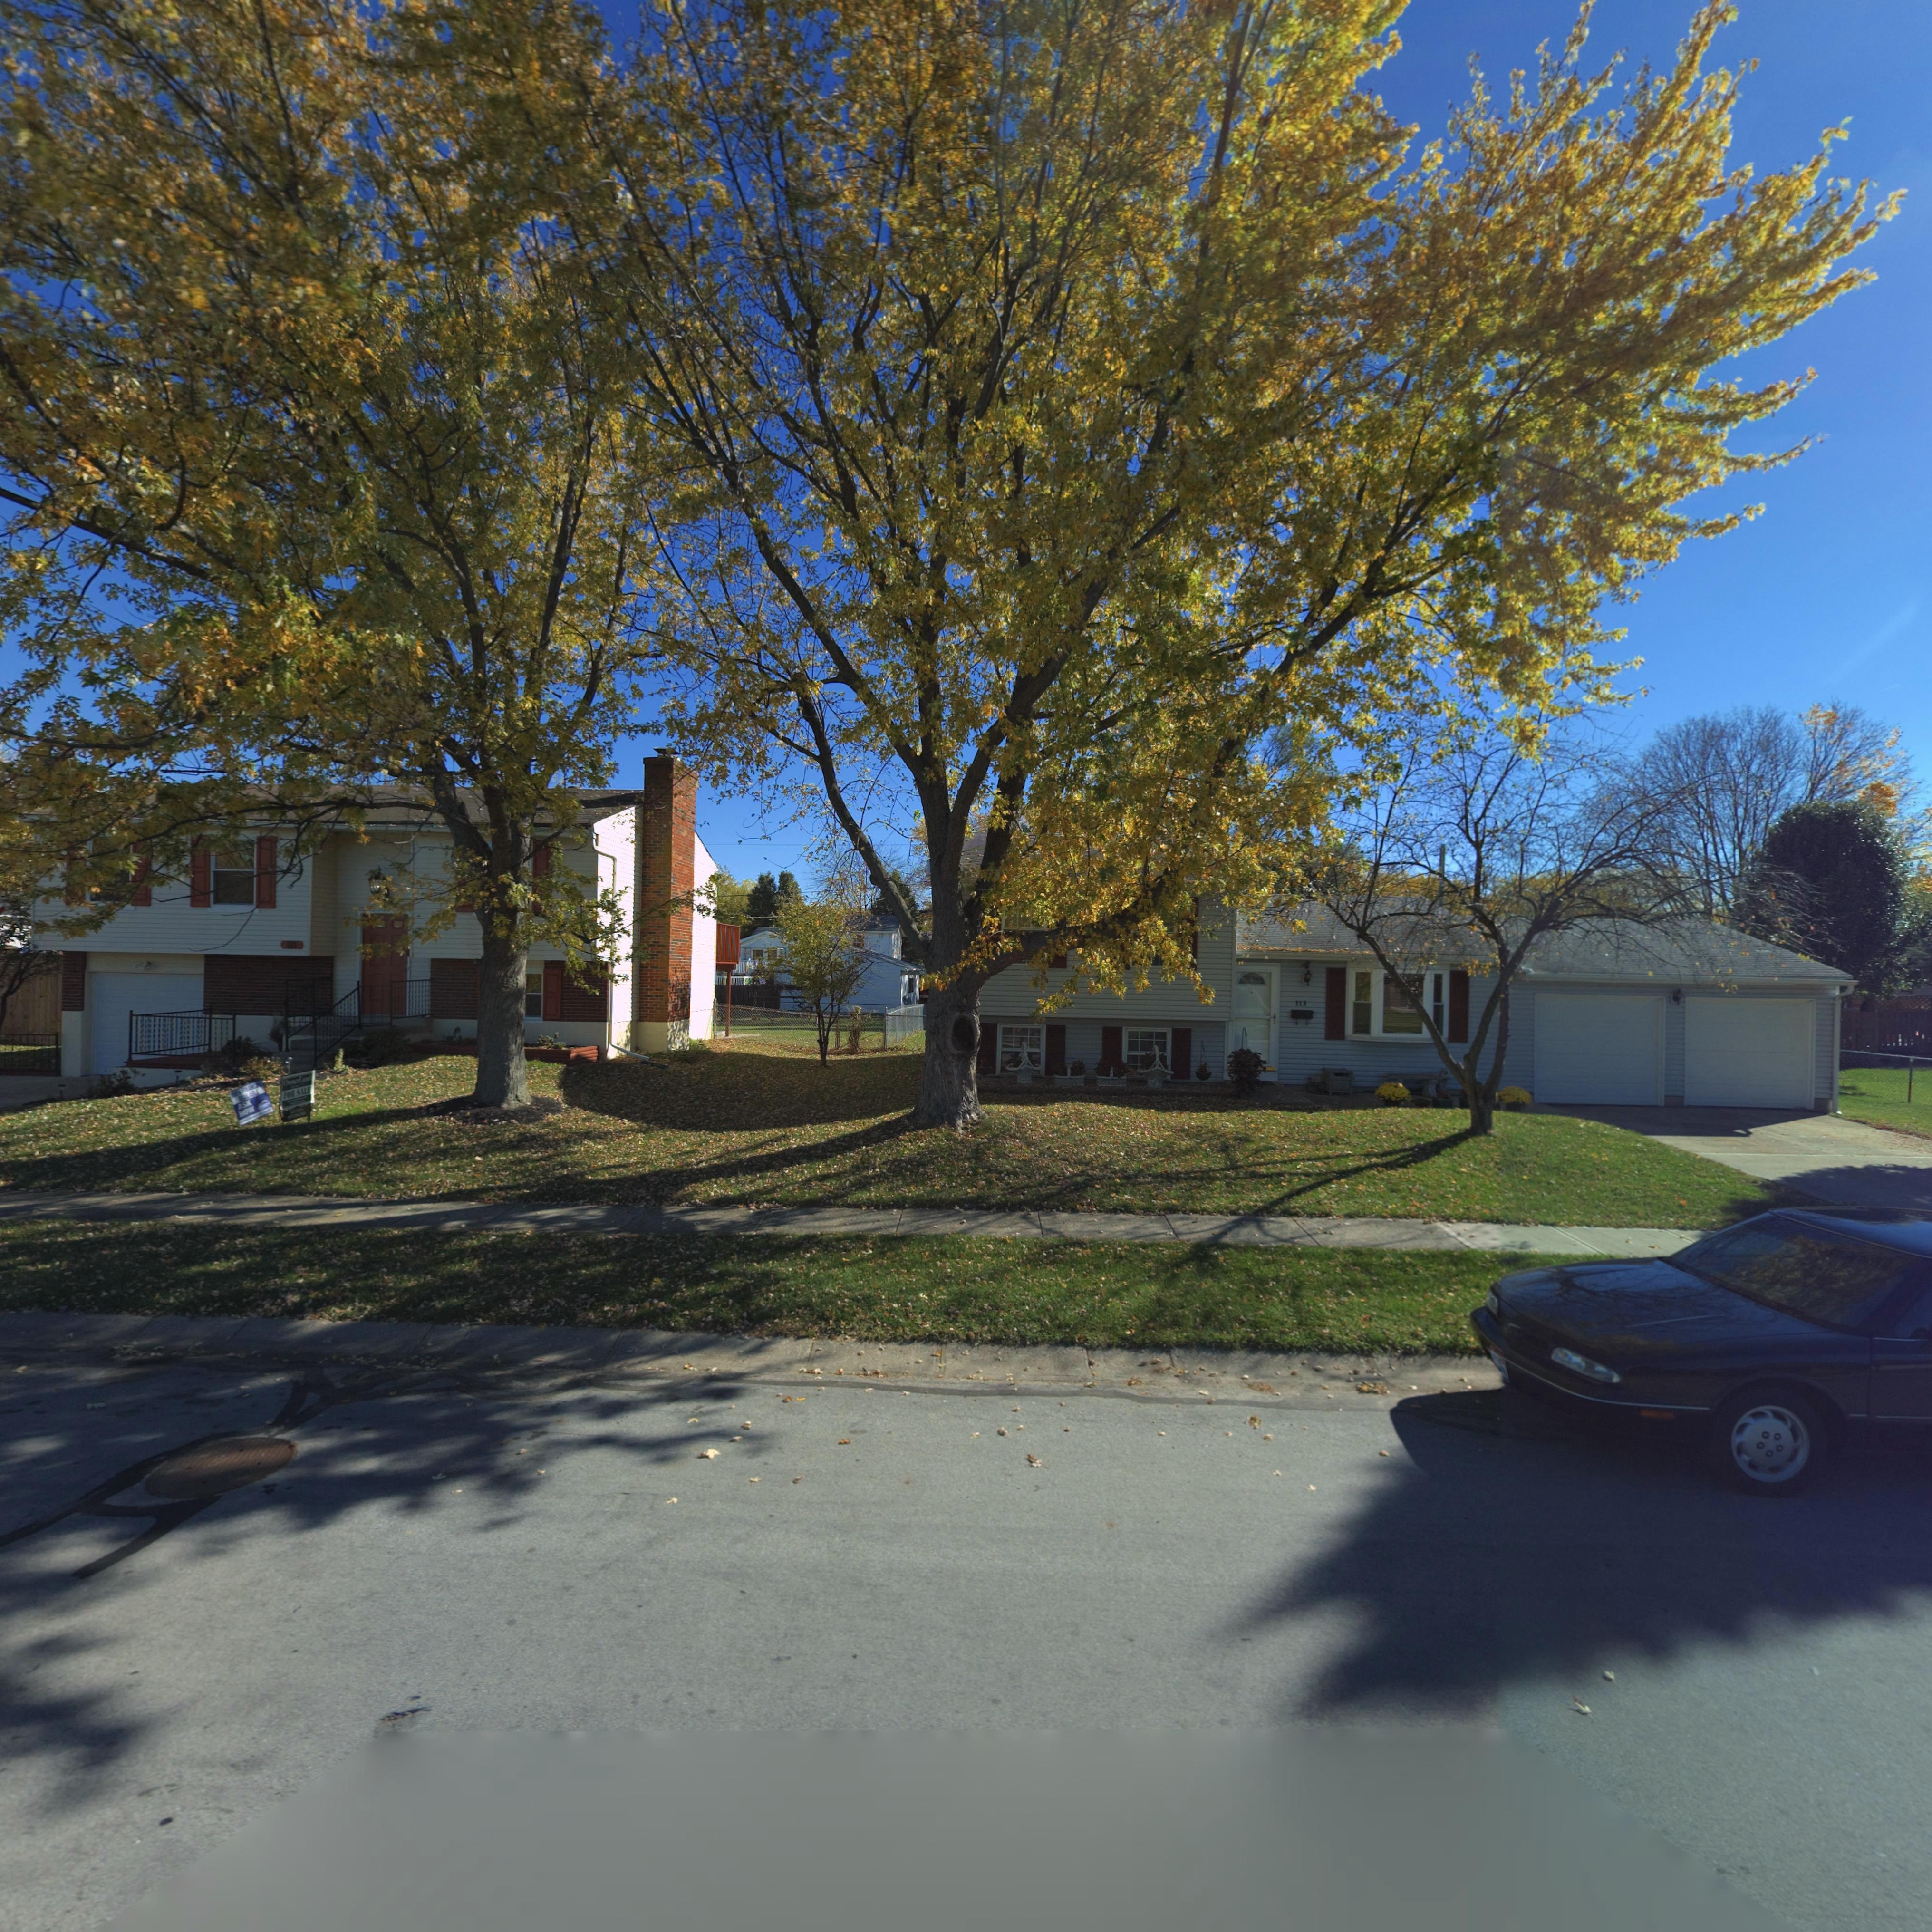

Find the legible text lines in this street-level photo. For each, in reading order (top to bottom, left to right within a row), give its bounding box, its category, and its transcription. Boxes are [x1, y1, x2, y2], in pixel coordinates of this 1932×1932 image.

[287, 941, 297, 949] StreetNumber: 111
[1295, 1000, 1306, 1006] StreetNumber: 113